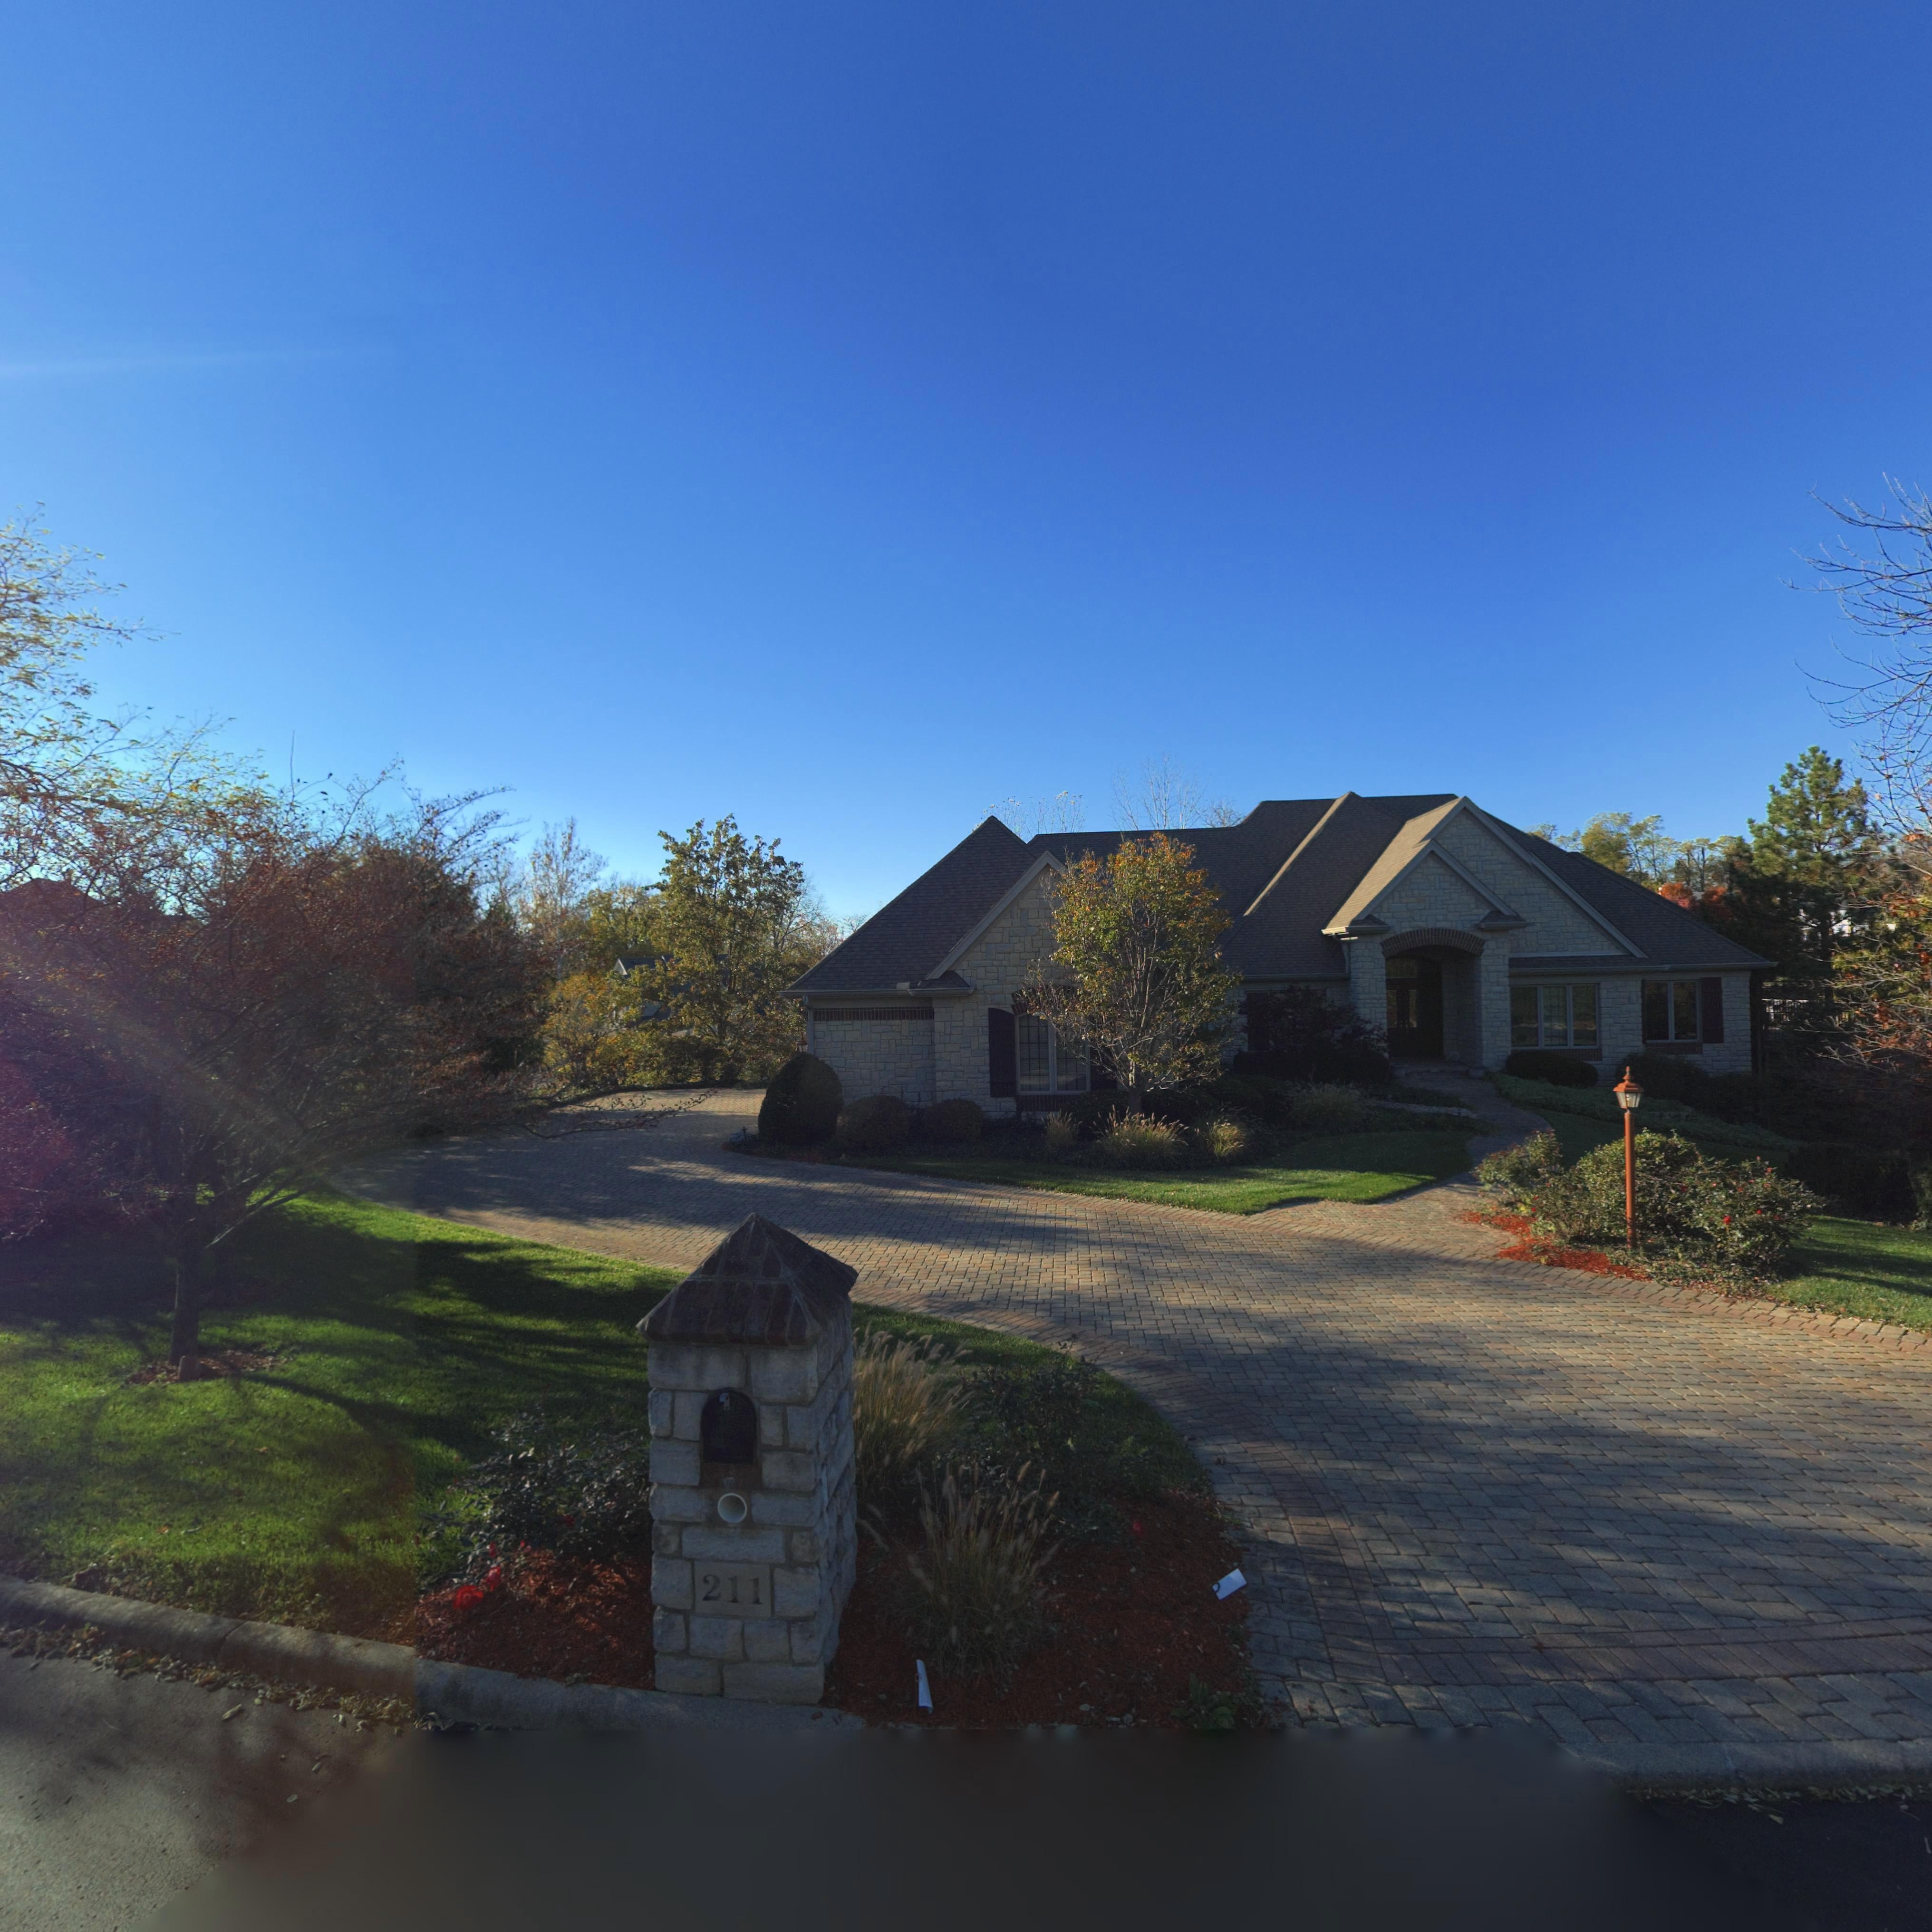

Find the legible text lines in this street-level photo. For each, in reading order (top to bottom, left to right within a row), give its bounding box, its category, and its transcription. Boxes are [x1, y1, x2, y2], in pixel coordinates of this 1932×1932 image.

[699, 1571, 765, 1608] StreetNumber: 211